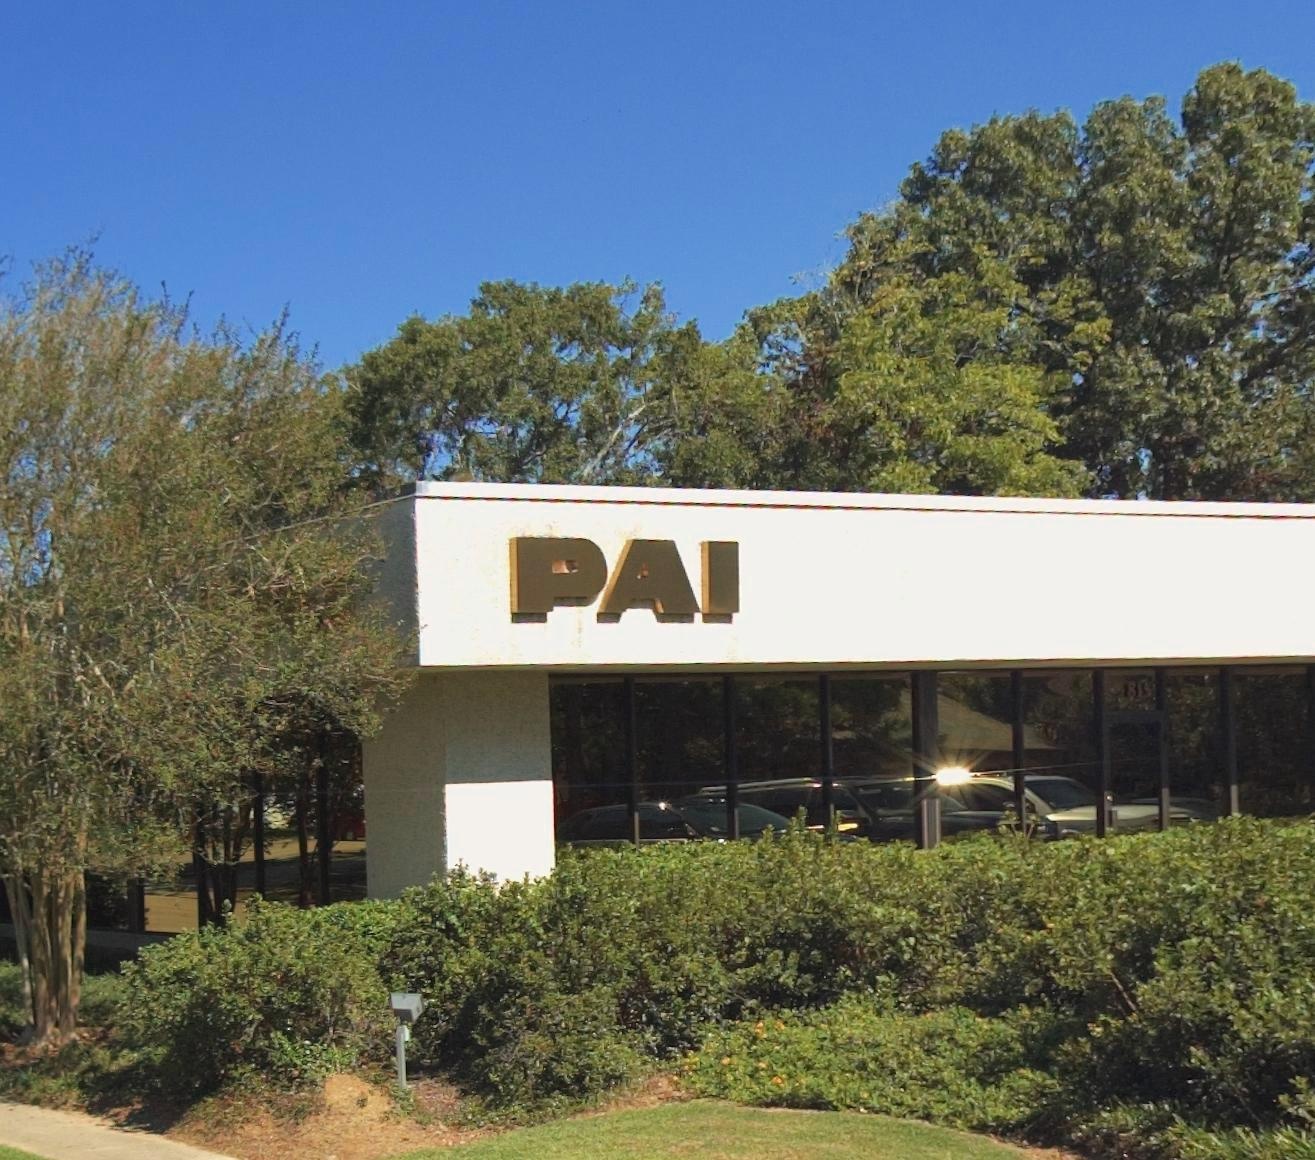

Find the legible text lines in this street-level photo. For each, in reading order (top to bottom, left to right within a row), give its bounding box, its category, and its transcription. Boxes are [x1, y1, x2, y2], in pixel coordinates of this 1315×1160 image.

[506, 533, 744, 619] BusinessName: PAI
[1121, 677, 1152, 701] StreetNumber: 81*